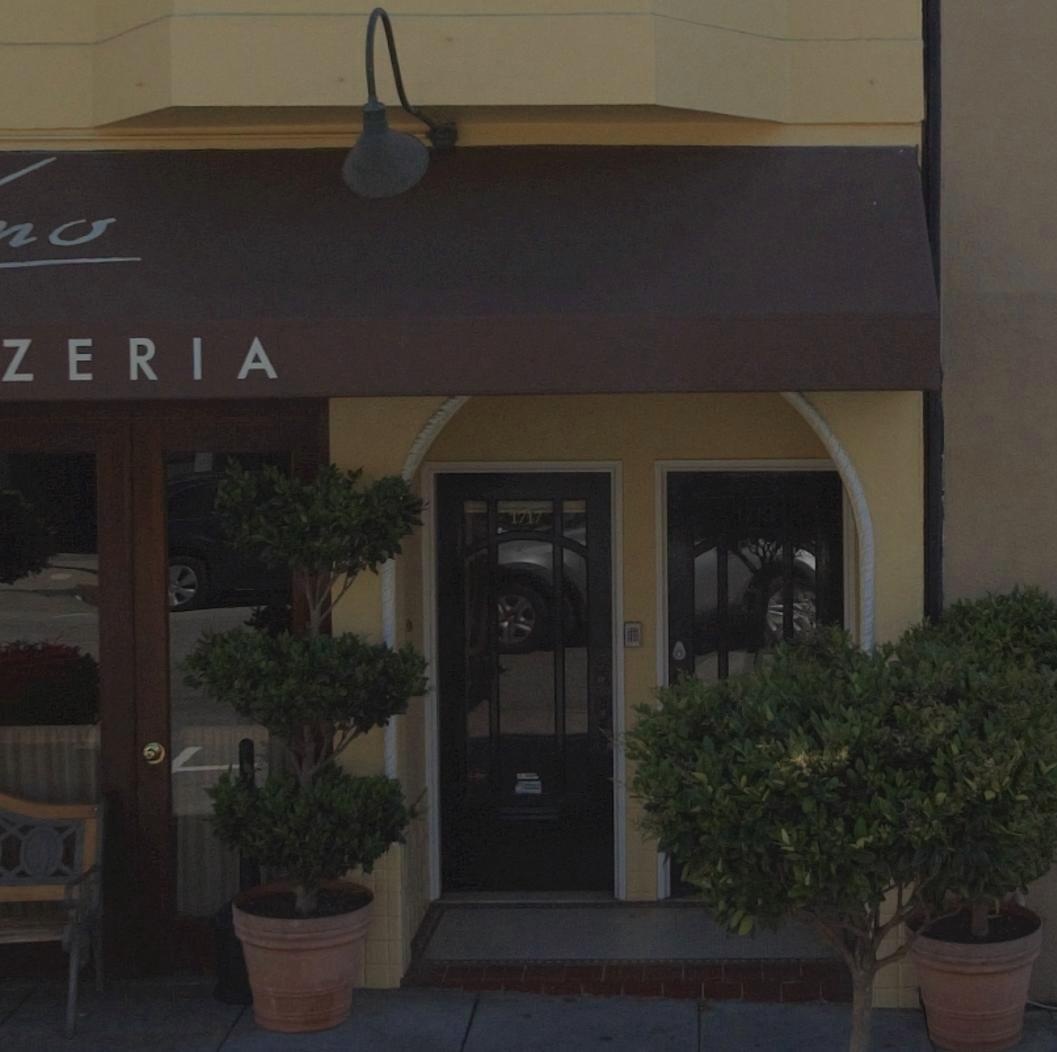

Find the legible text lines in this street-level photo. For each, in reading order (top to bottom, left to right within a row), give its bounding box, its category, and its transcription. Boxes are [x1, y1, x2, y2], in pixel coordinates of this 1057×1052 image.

[47, 215, 119, 249] BusinessName: o
[1, 335, 281, 385] BusinessName: ZERIA
[511, 510, 542, 525] StreetNumber: 1717